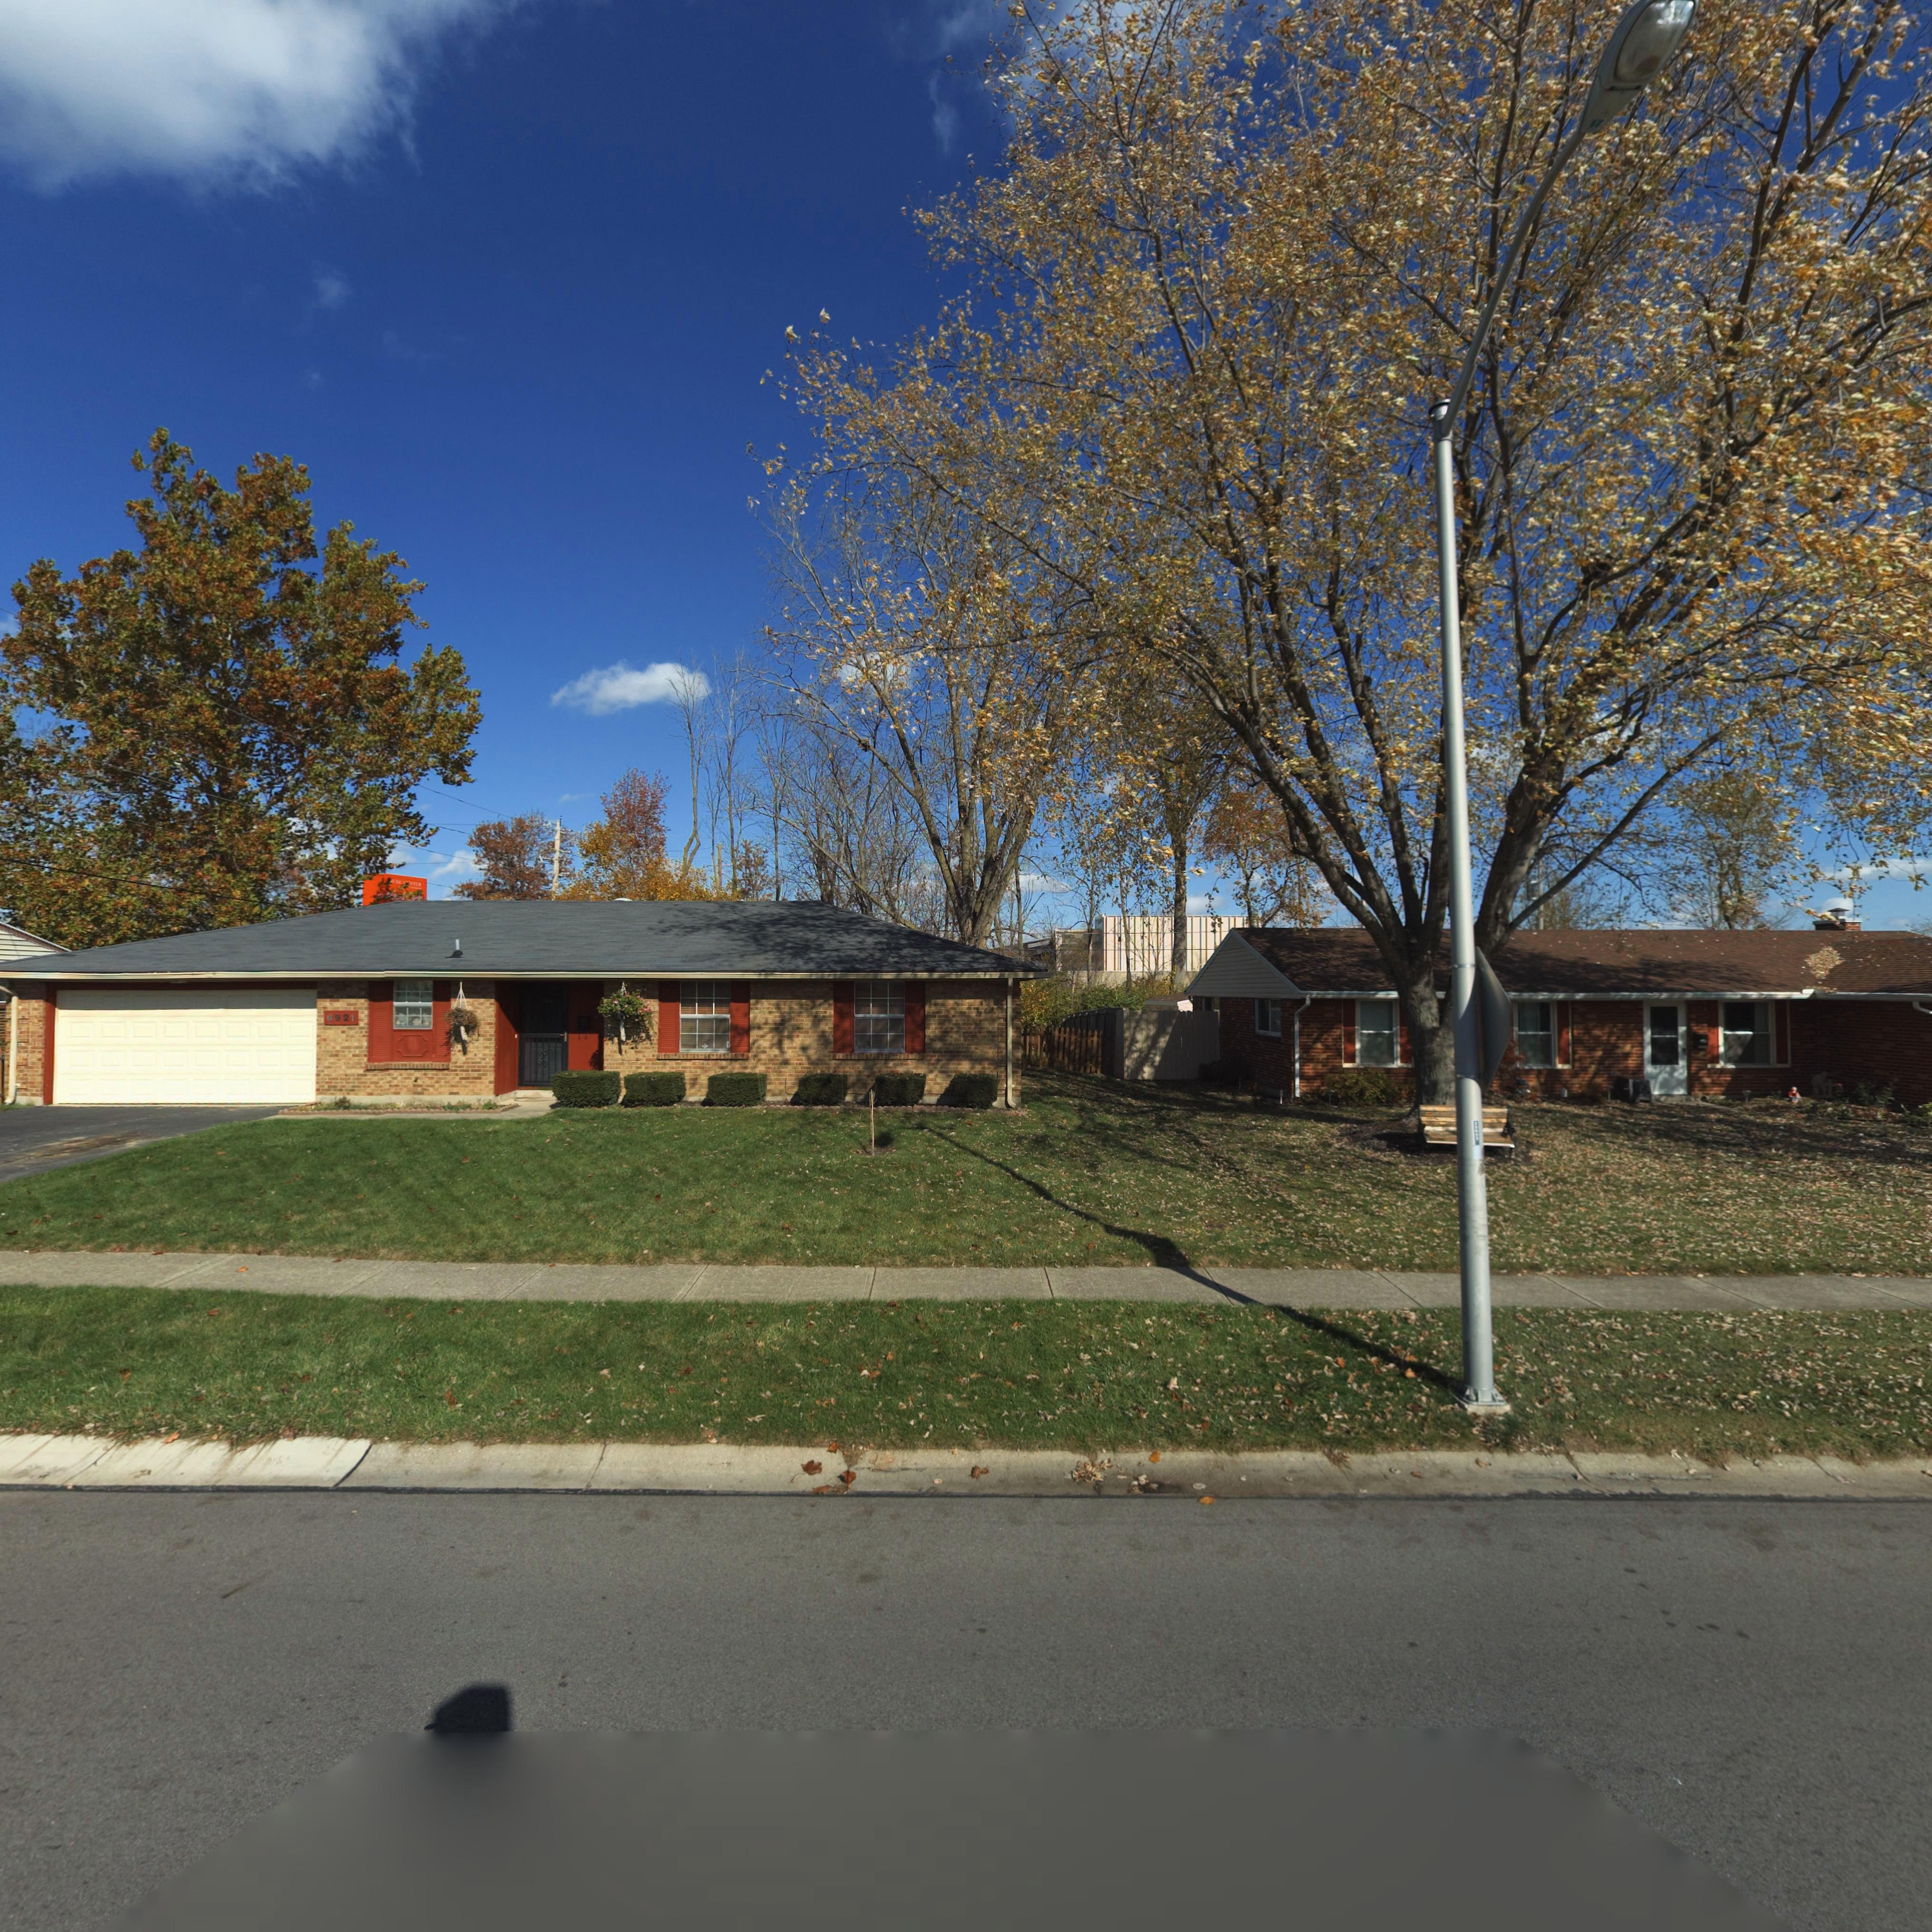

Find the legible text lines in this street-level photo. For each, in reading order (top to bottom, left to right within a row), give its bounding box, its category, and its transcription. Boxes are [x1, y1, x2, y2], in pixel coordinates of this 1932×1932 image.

[326, 1013, 356, 1023] StreetNumber: 6921